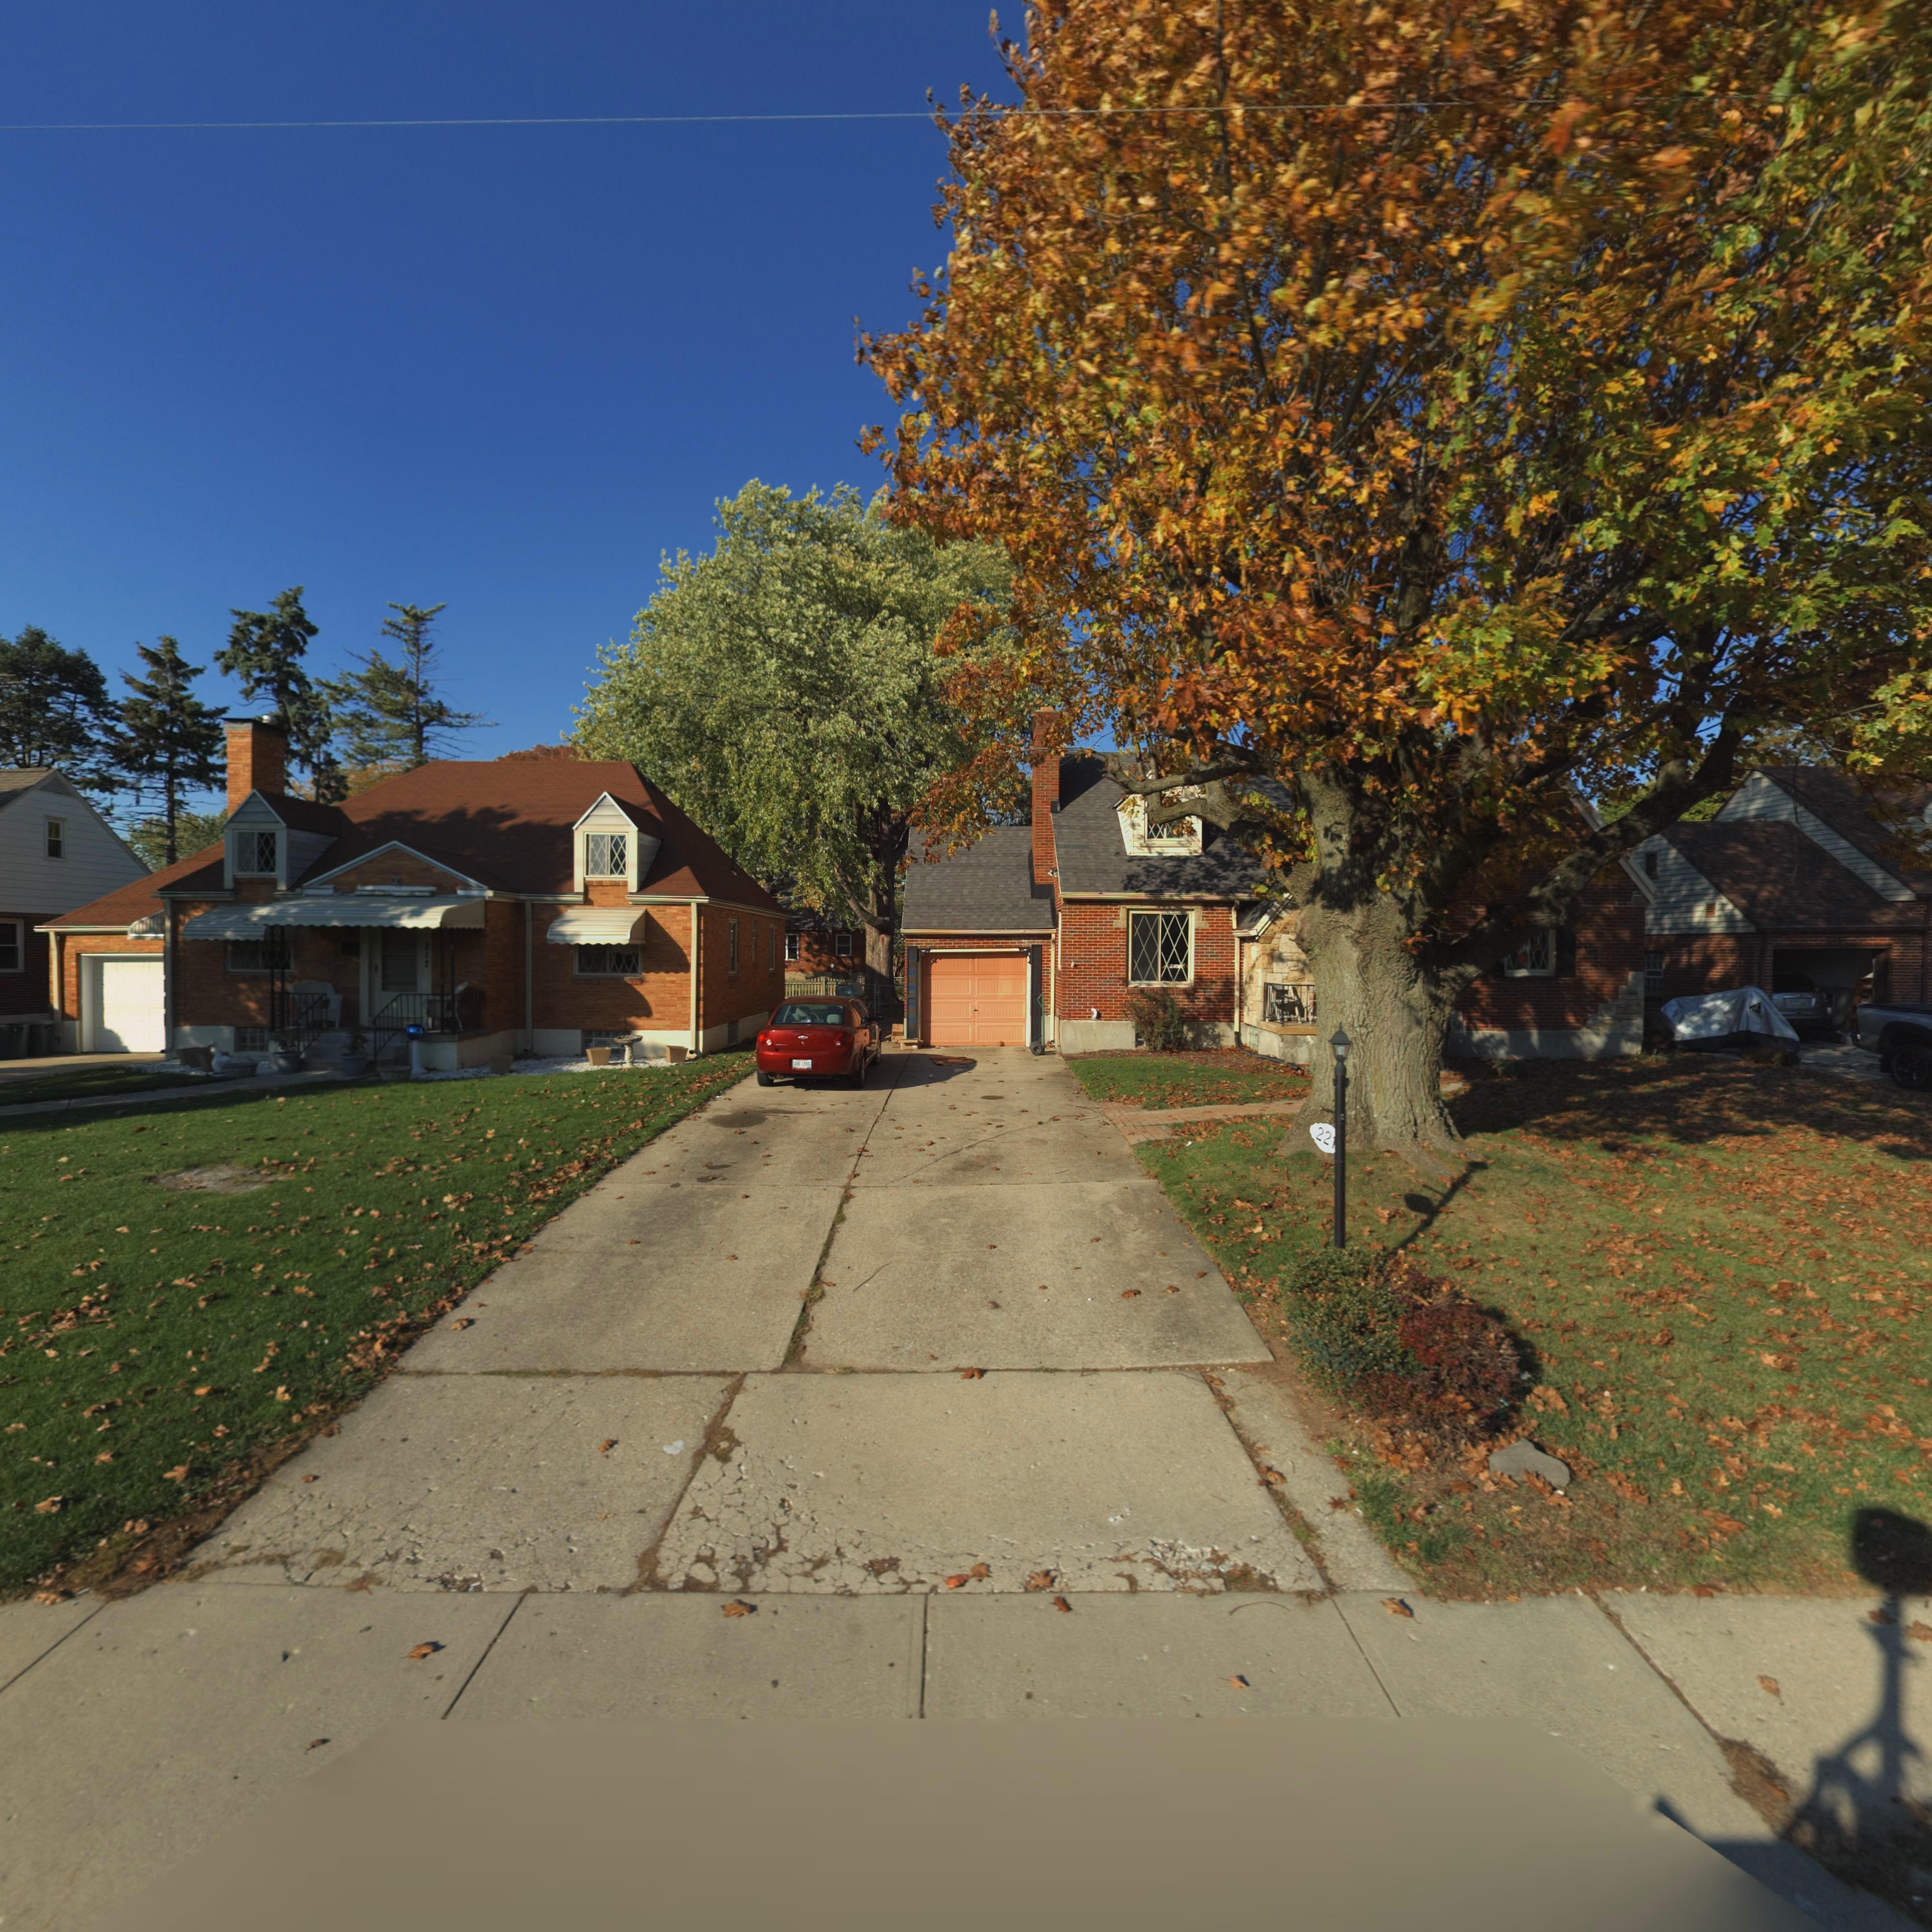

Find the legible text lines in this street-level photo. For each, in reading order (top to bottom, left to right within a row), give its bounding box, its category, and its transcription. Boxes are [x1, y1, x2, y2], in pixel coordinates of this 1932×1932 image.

[423, 941, 430, 969] StreetNumber: 217
[801, 1060, 811, 1068] None: 1**6
[1314, 1125, 1333, 1148] StreetNumber: 22